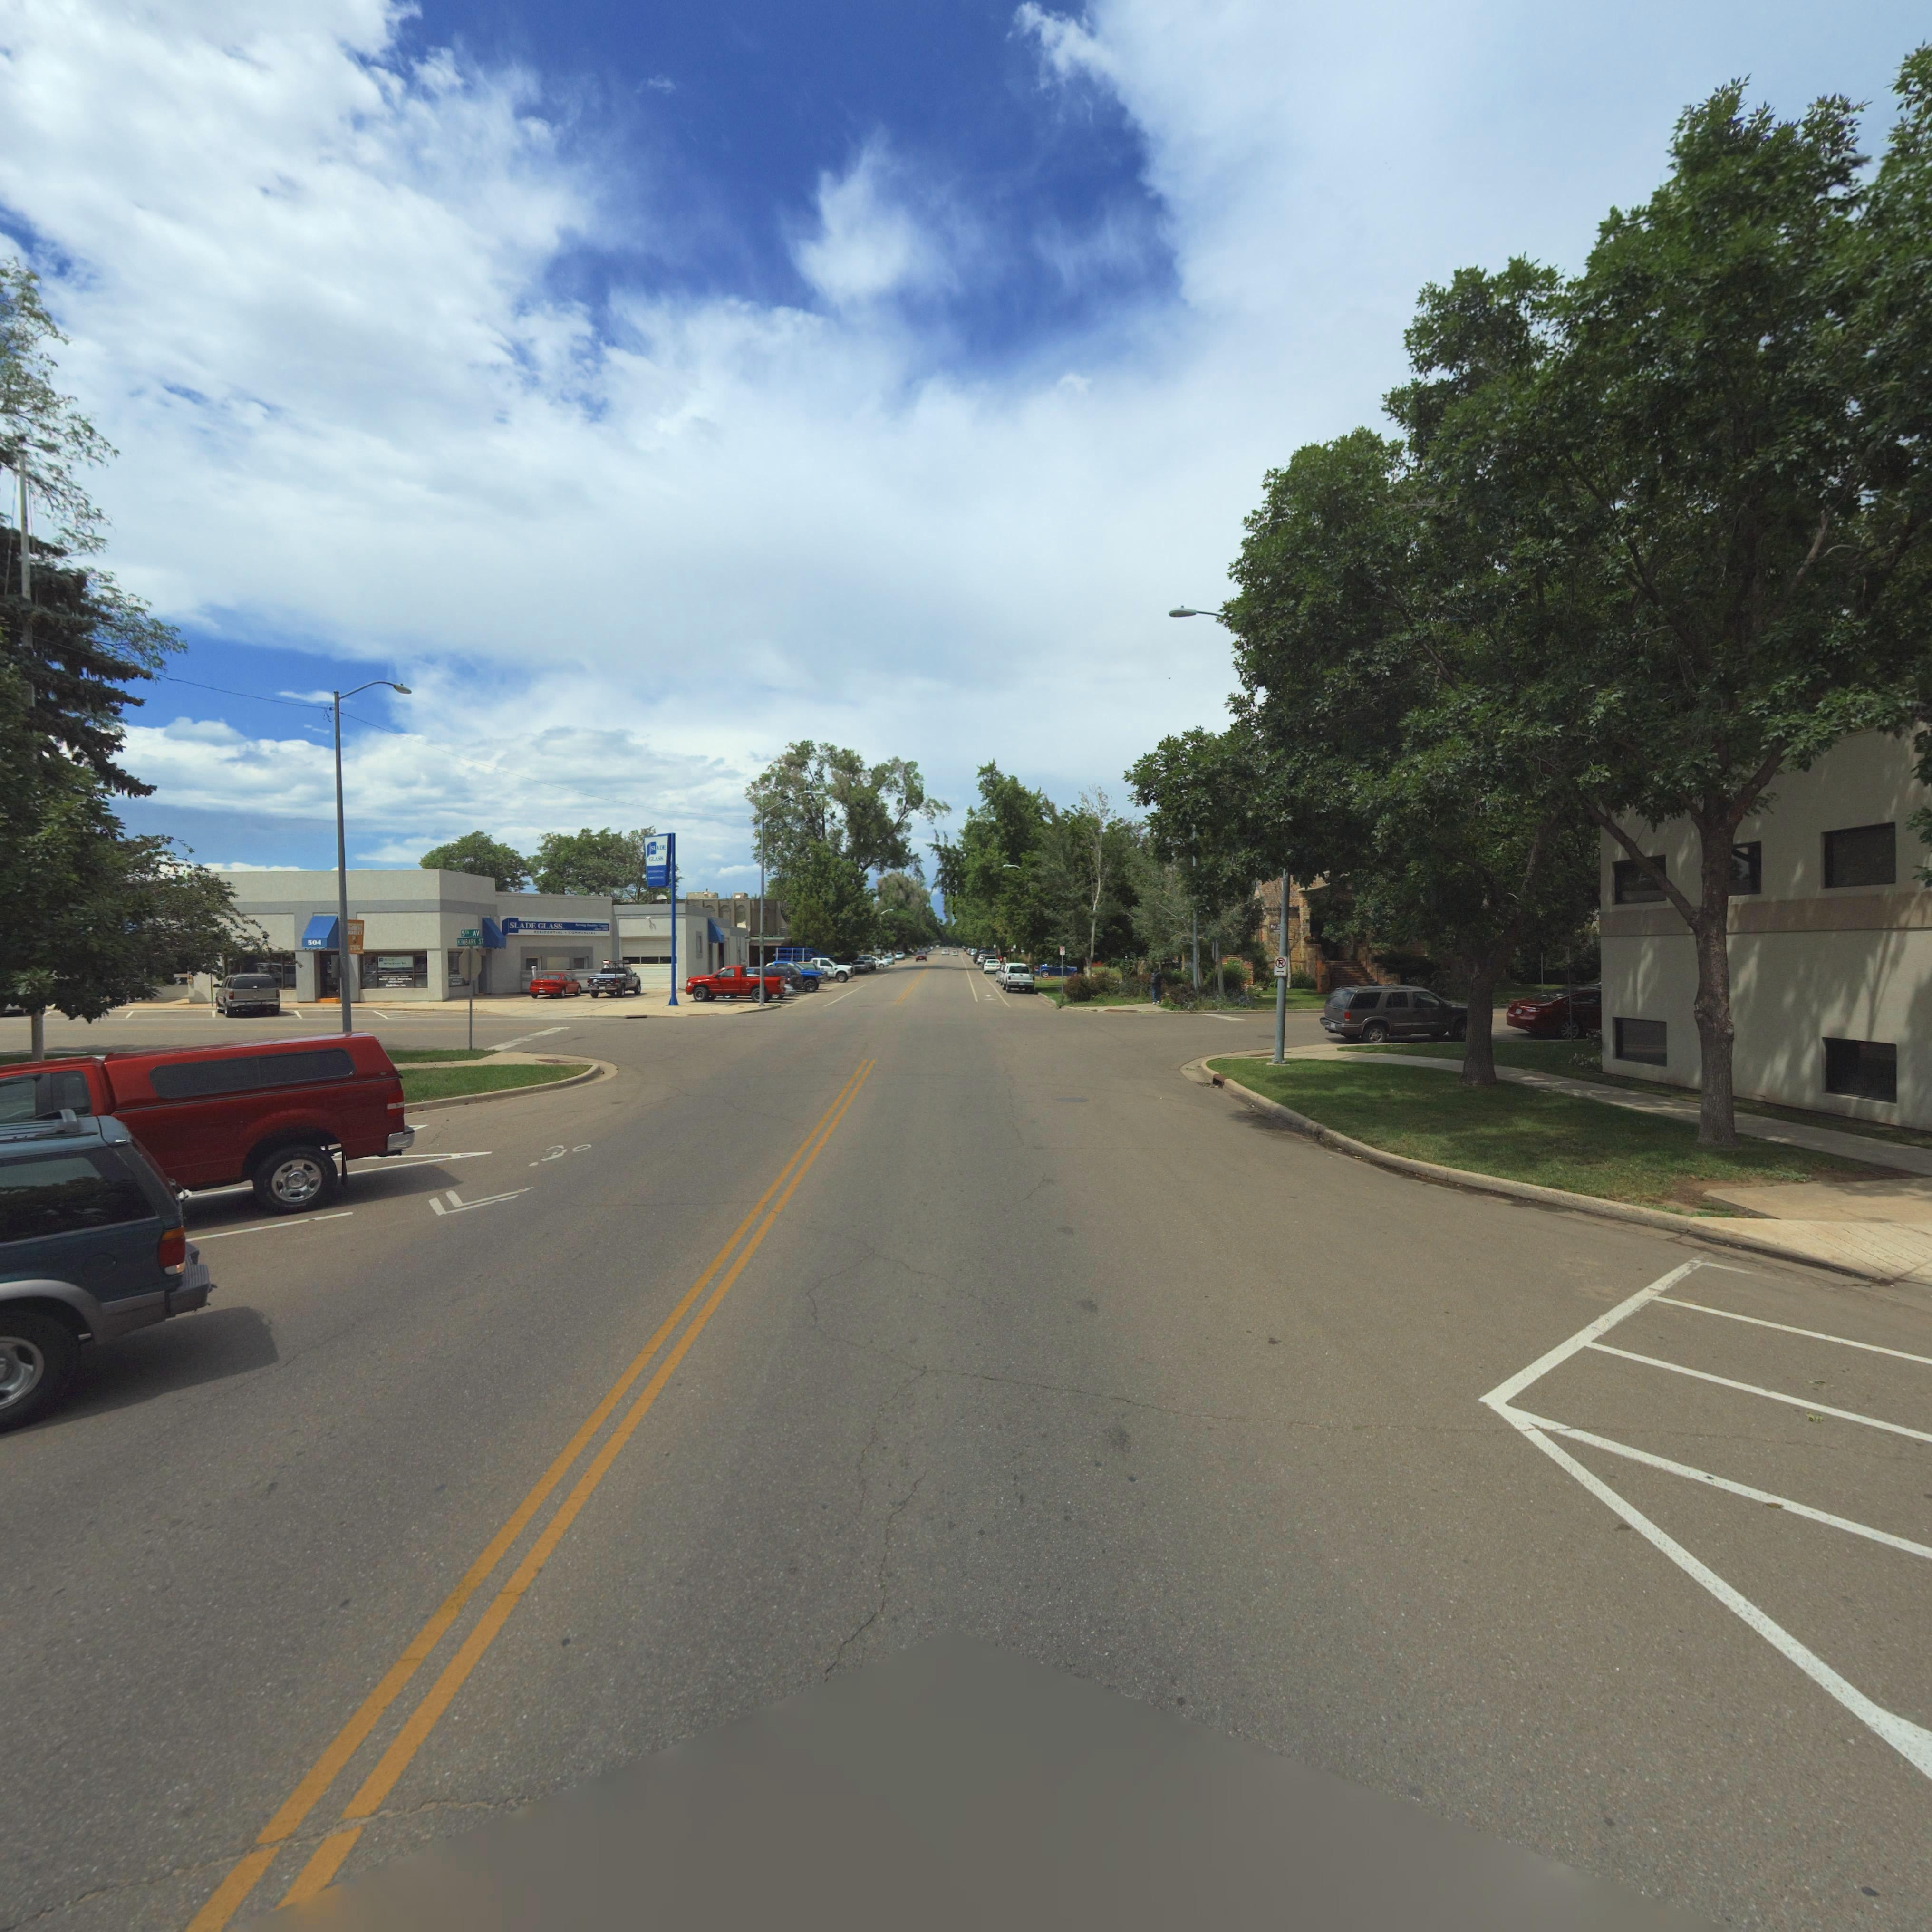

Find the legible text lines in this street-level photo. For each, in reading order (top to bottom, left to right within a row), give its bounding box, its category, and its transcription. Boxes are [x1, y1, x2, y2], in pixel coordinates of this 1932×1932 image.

[650, 844, 667, 850] StreetNumber: SLADE
[648, 855, 664, 861] BusinessName: GLASS
[509, 921, 563, 929] BusinessName: SLADE GLASS
[461, 930, 480, 937] BusinessName: 5TH AV
[307, 939, 321, 945] StreetNumber: 504
[457, 938, 483, 945] StreetName: ***BARK ST